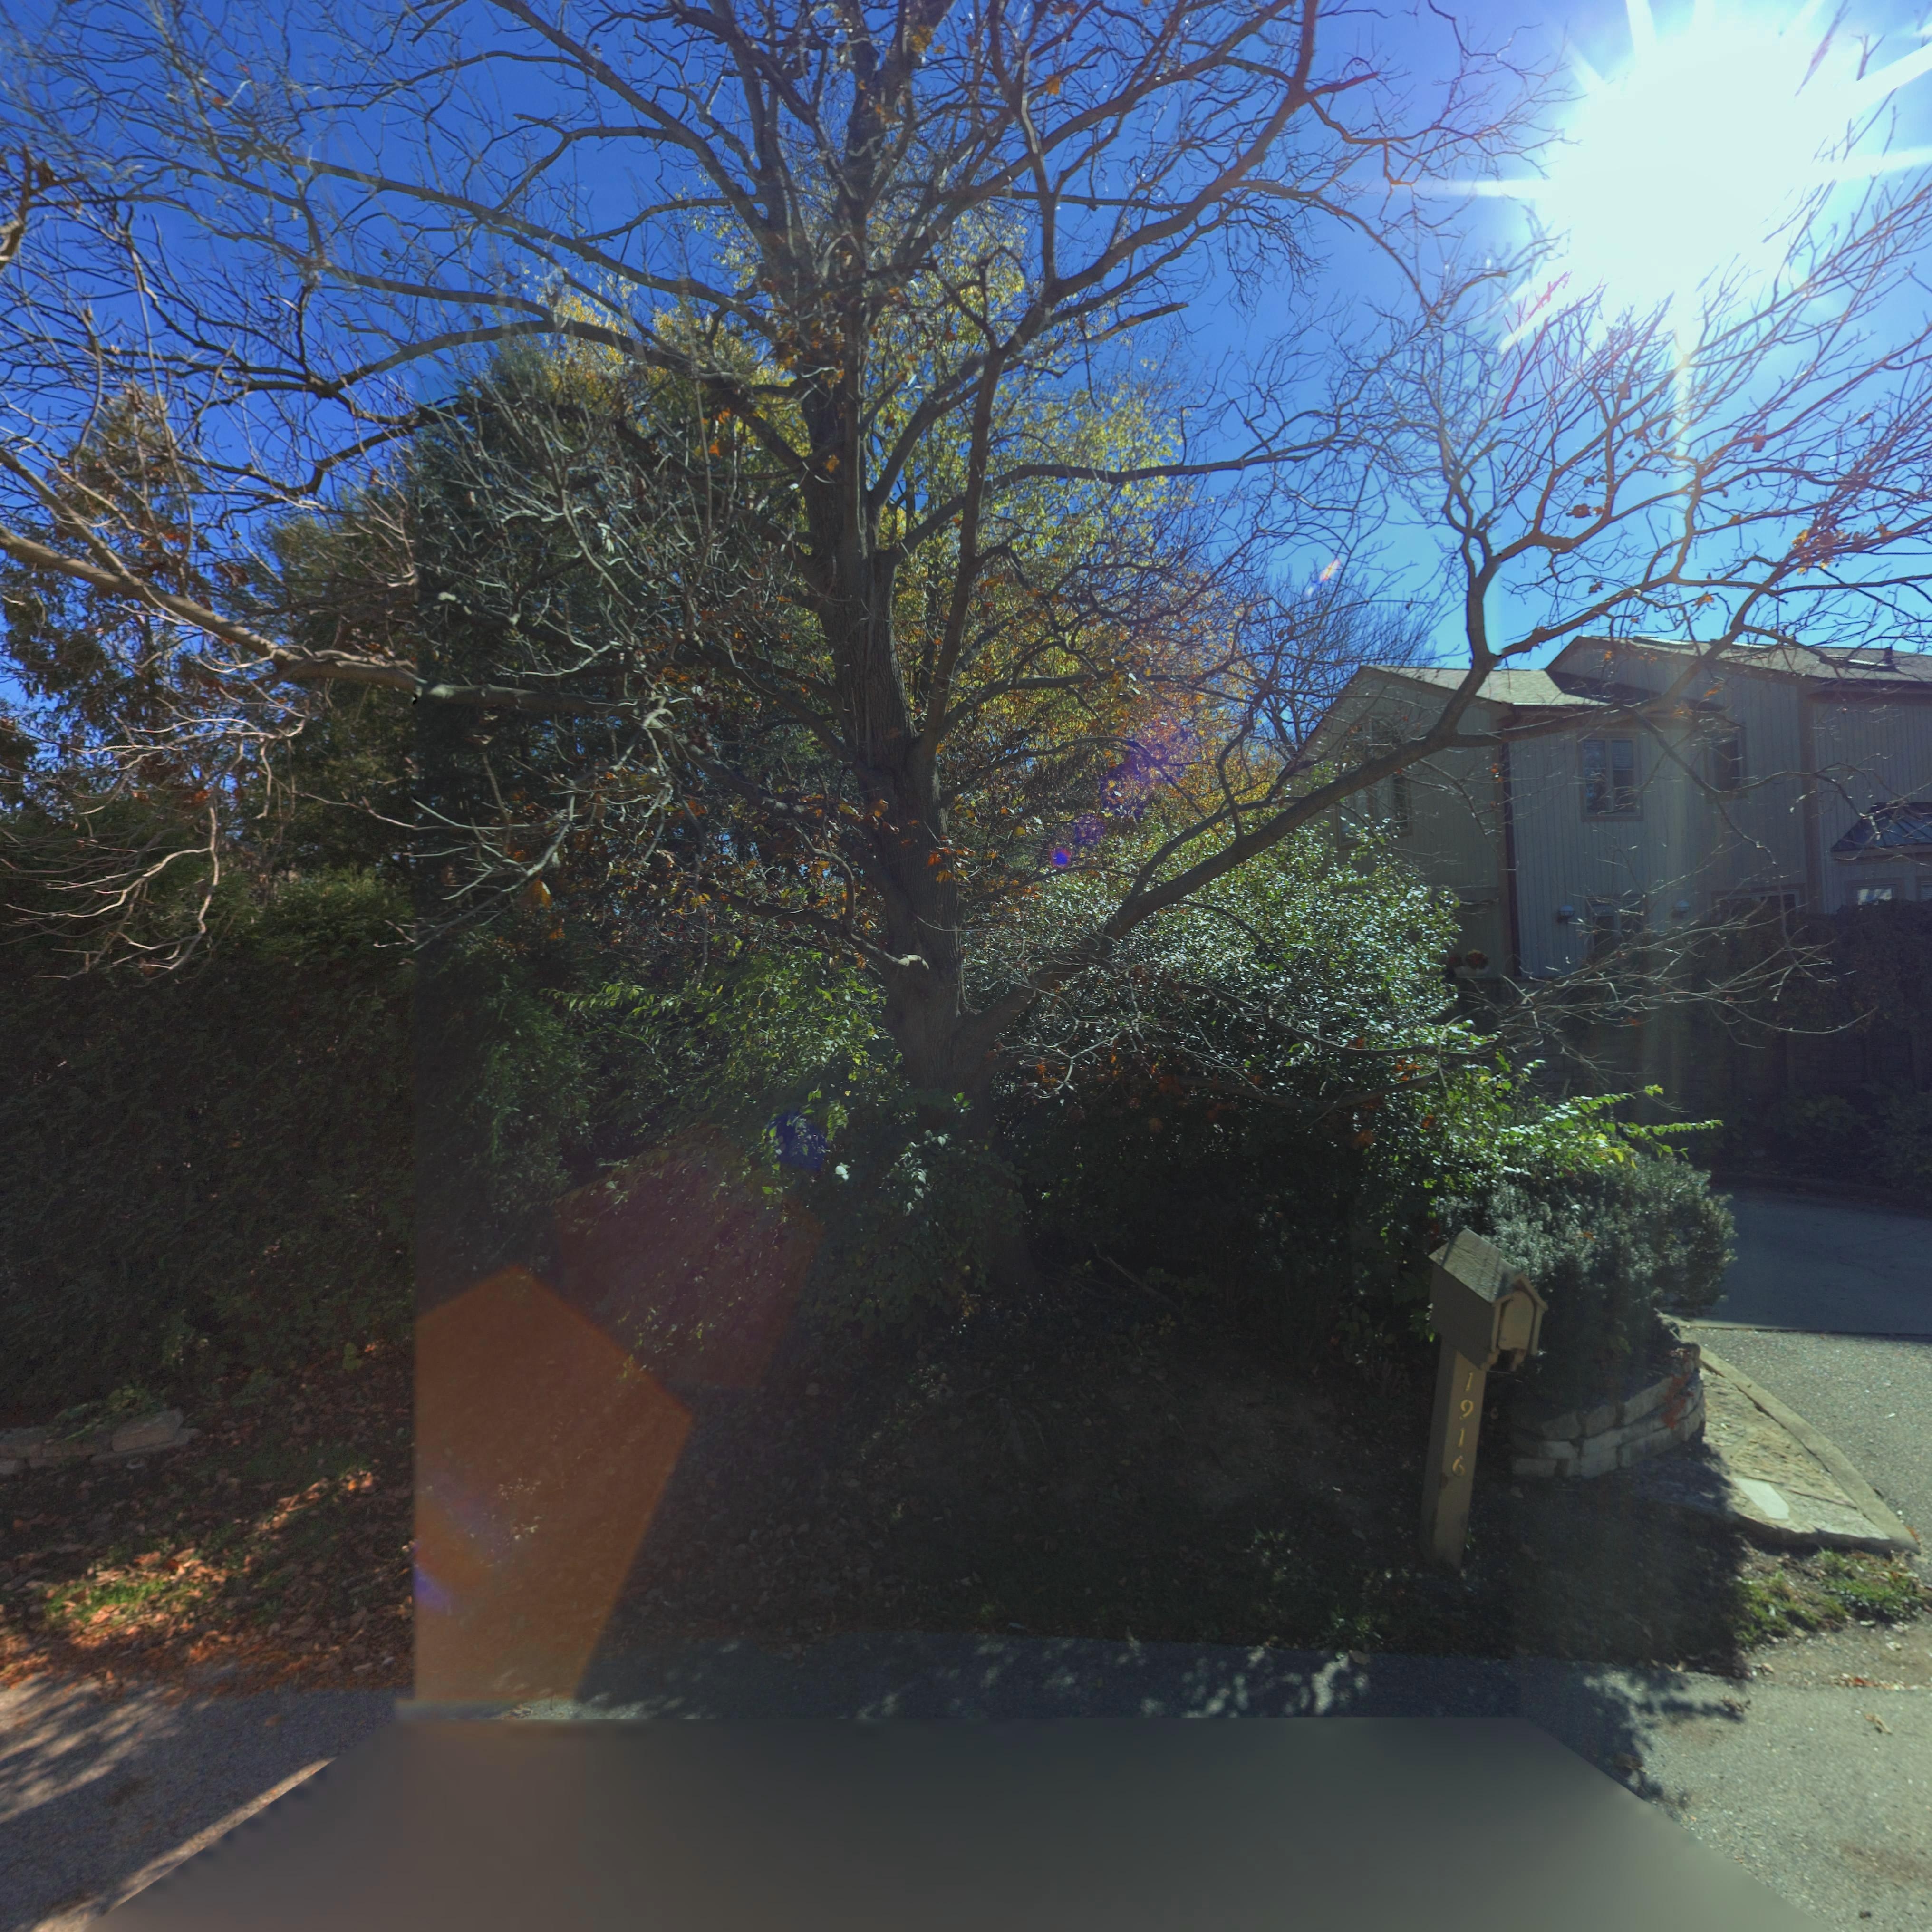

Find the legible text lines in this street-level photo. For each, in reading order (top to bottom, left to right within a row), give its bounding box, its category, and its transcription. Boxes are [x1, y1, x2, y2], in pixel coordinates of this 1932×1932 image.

[1449, 1369, 1477, 1481] StreetNumber: 1916